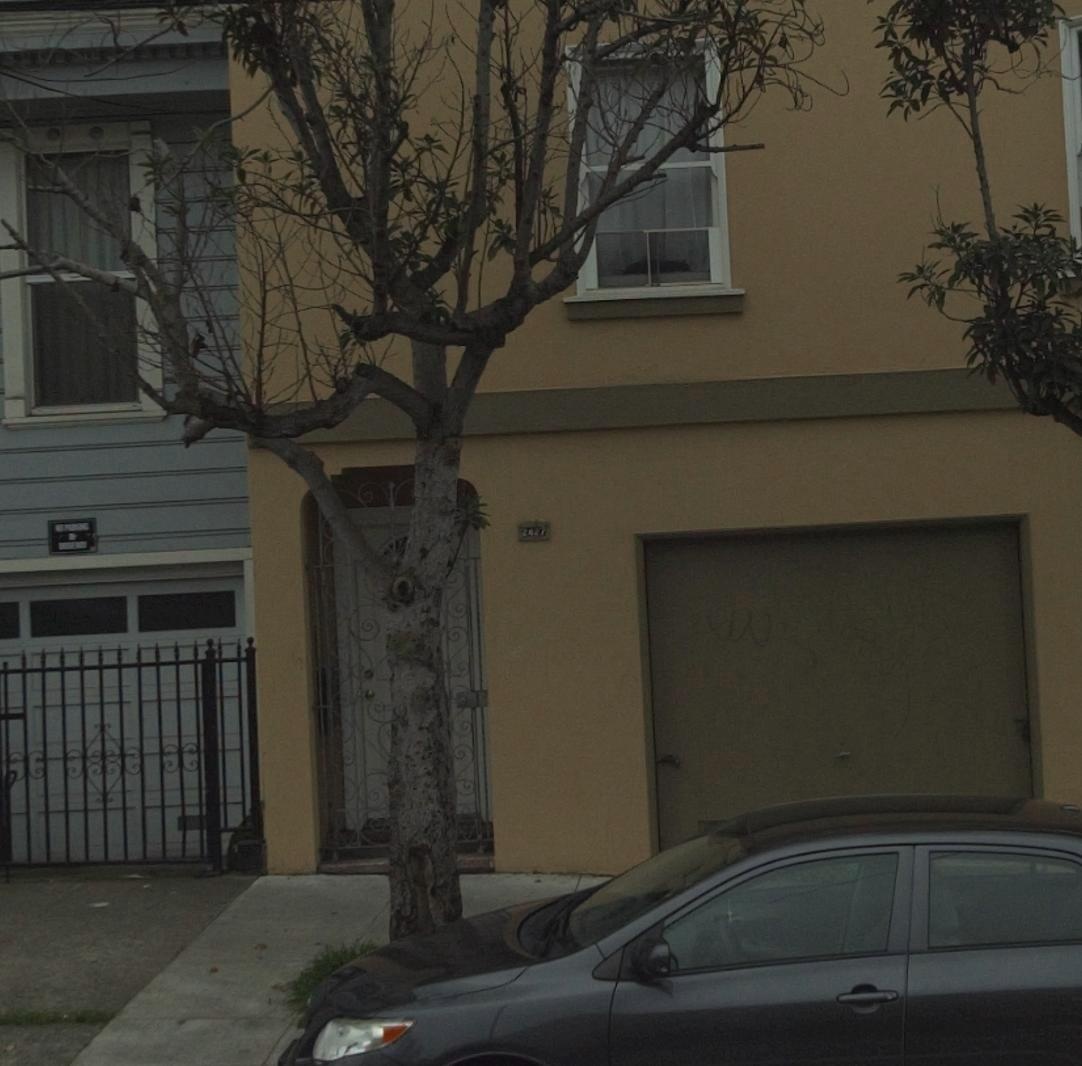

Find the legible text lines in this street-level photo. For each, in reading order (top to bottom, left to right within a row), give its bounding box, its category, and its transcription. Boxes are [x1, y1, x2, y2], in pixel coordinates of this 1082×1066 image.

[521, 527, 547, 536] StreetNumber: 2427